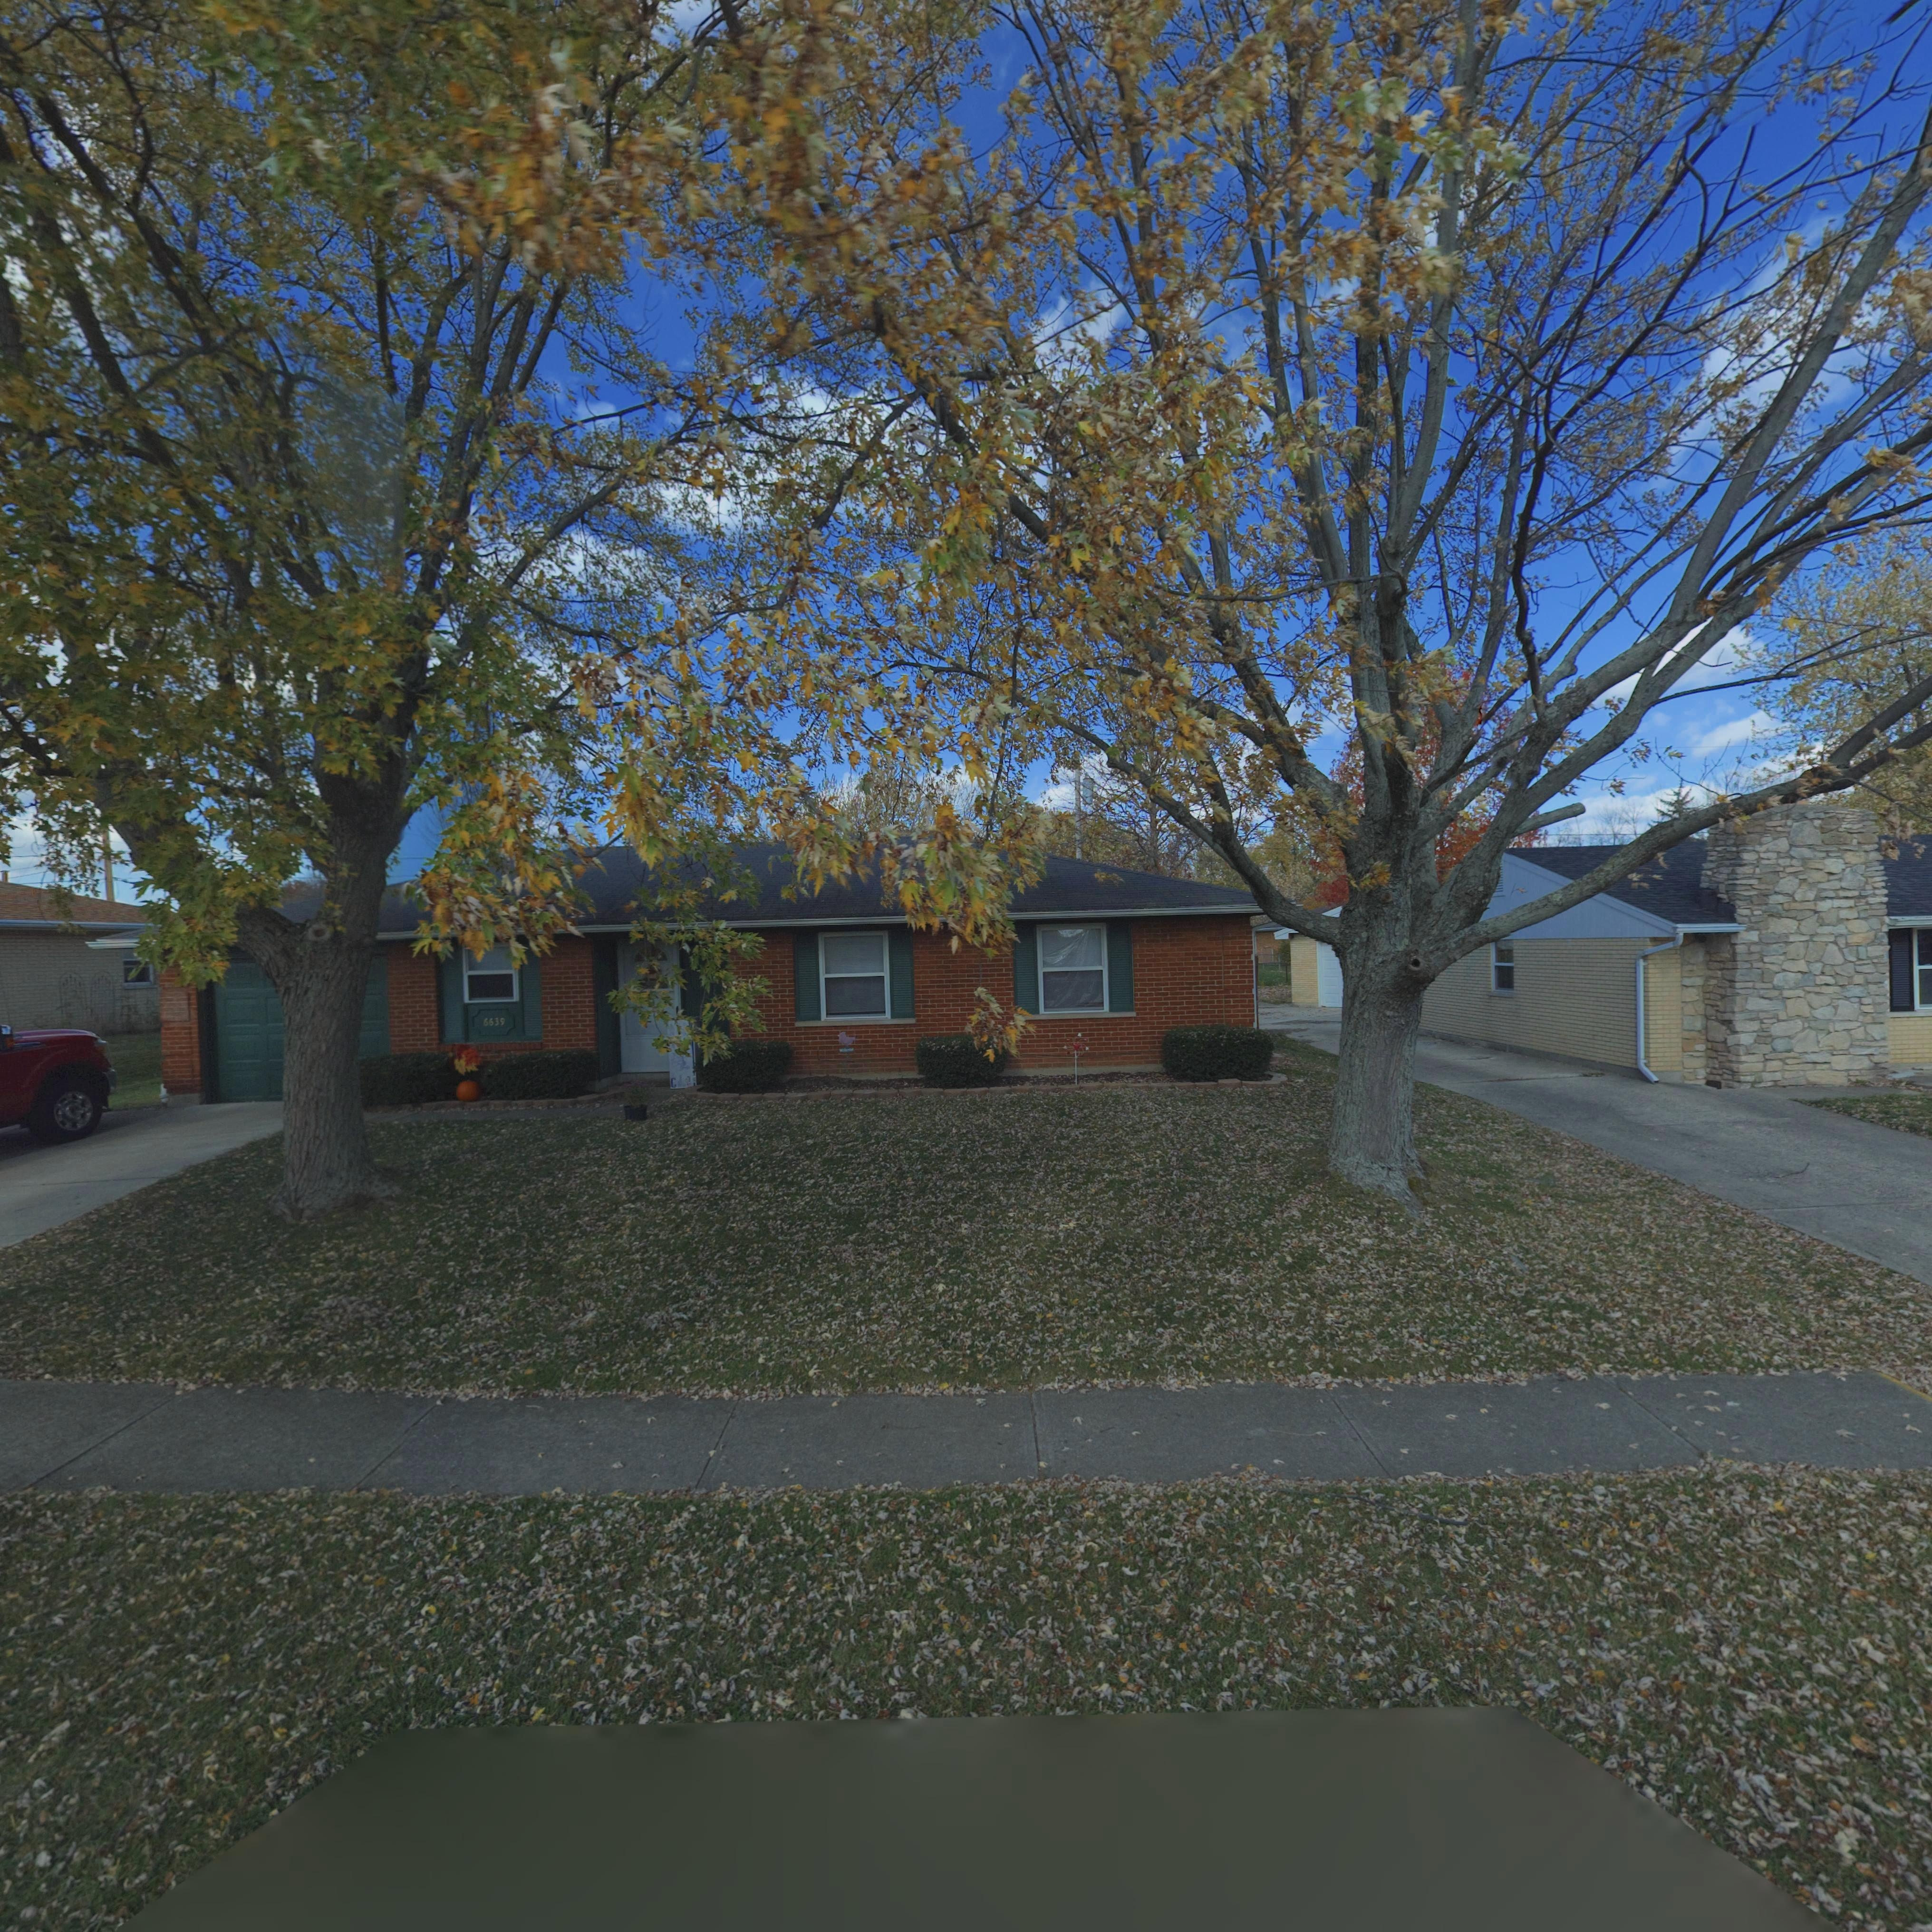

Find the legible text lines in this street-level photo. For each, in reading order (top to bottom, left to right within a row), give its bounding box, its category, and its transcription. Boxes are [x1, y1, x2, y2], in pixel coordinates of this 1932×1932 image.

[482, 1017, 506, 1027] StreetNumber: 6639